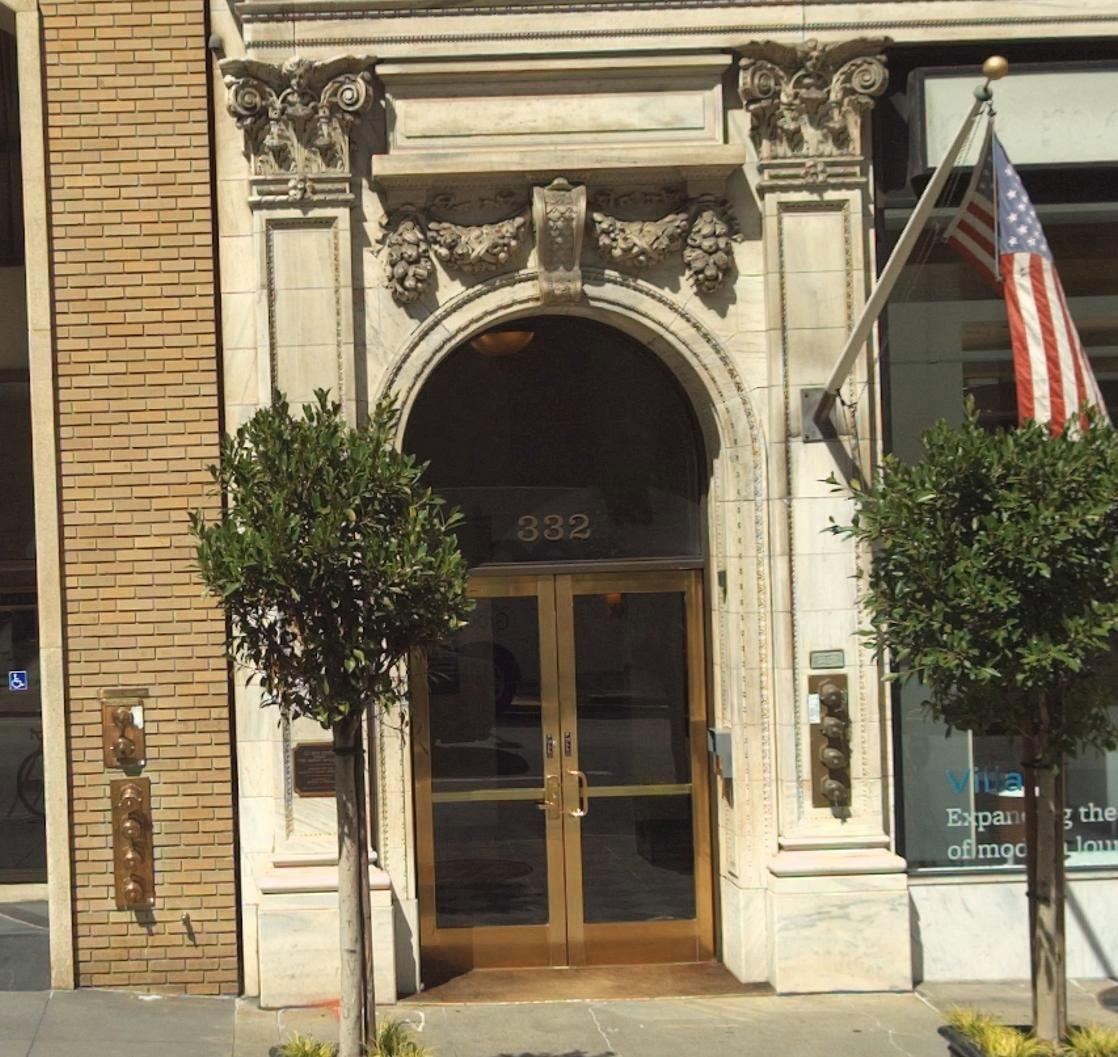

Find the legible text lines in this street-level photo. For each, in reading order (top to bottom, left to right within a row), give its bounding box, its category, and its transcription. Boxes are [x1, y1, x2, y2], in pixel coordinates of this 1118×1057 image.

[517, 511, 591, 543] StreetNumber: 332
[943, 763, 1024, 795] None: Villa
[945, 799, 1118, 833] None: Expan*** the
[946, 836, 1029, 862] None: of moo